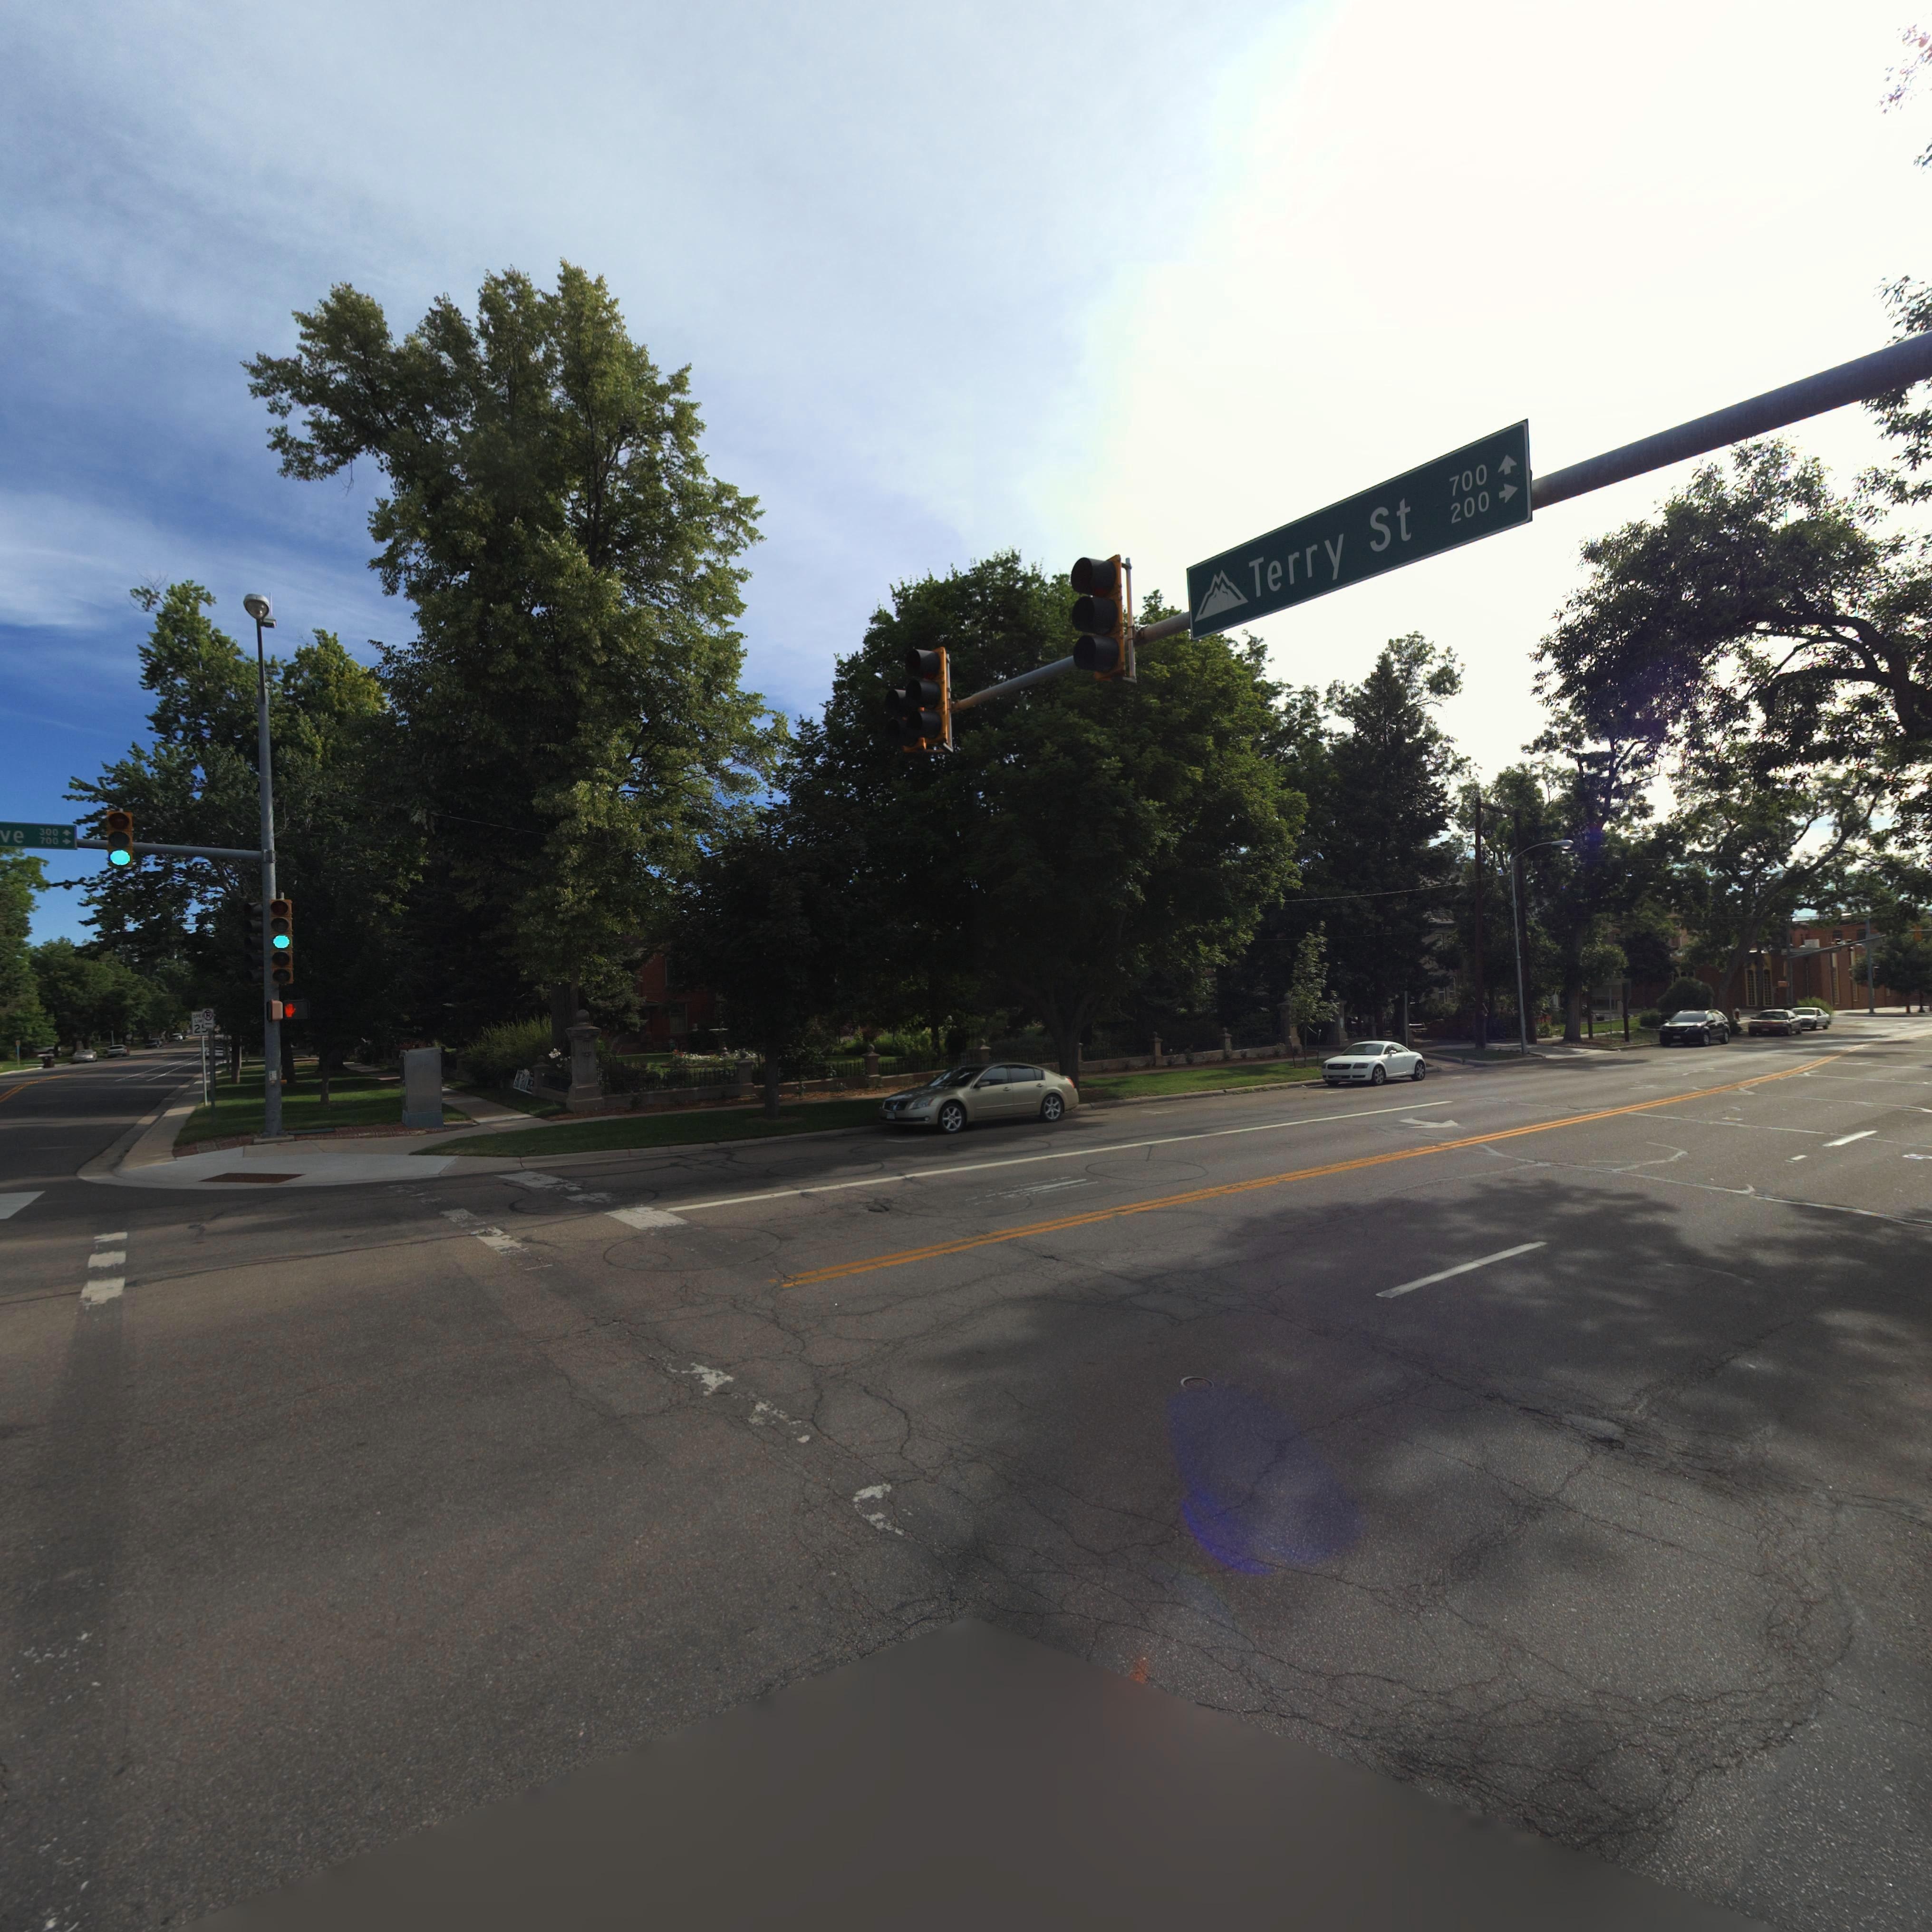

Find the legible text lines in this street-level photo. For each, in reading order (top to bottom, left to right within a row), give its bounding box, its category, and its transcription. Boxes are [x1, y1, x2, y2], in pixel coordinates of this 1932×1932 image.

[1447, 462, 1488, 497] StreetNumberRange: 700
[1449, 482, 1521, 524] StreetNumberRange: 200->
[1246, 495, 1415, 599] StreetName: Terry St
[0, 830, 24, 844] StreetName: ve
[39, 827, 58, 836] StreetNumberRange: 300
[39, 837, 72, 845] StreetNumberRange: 700->